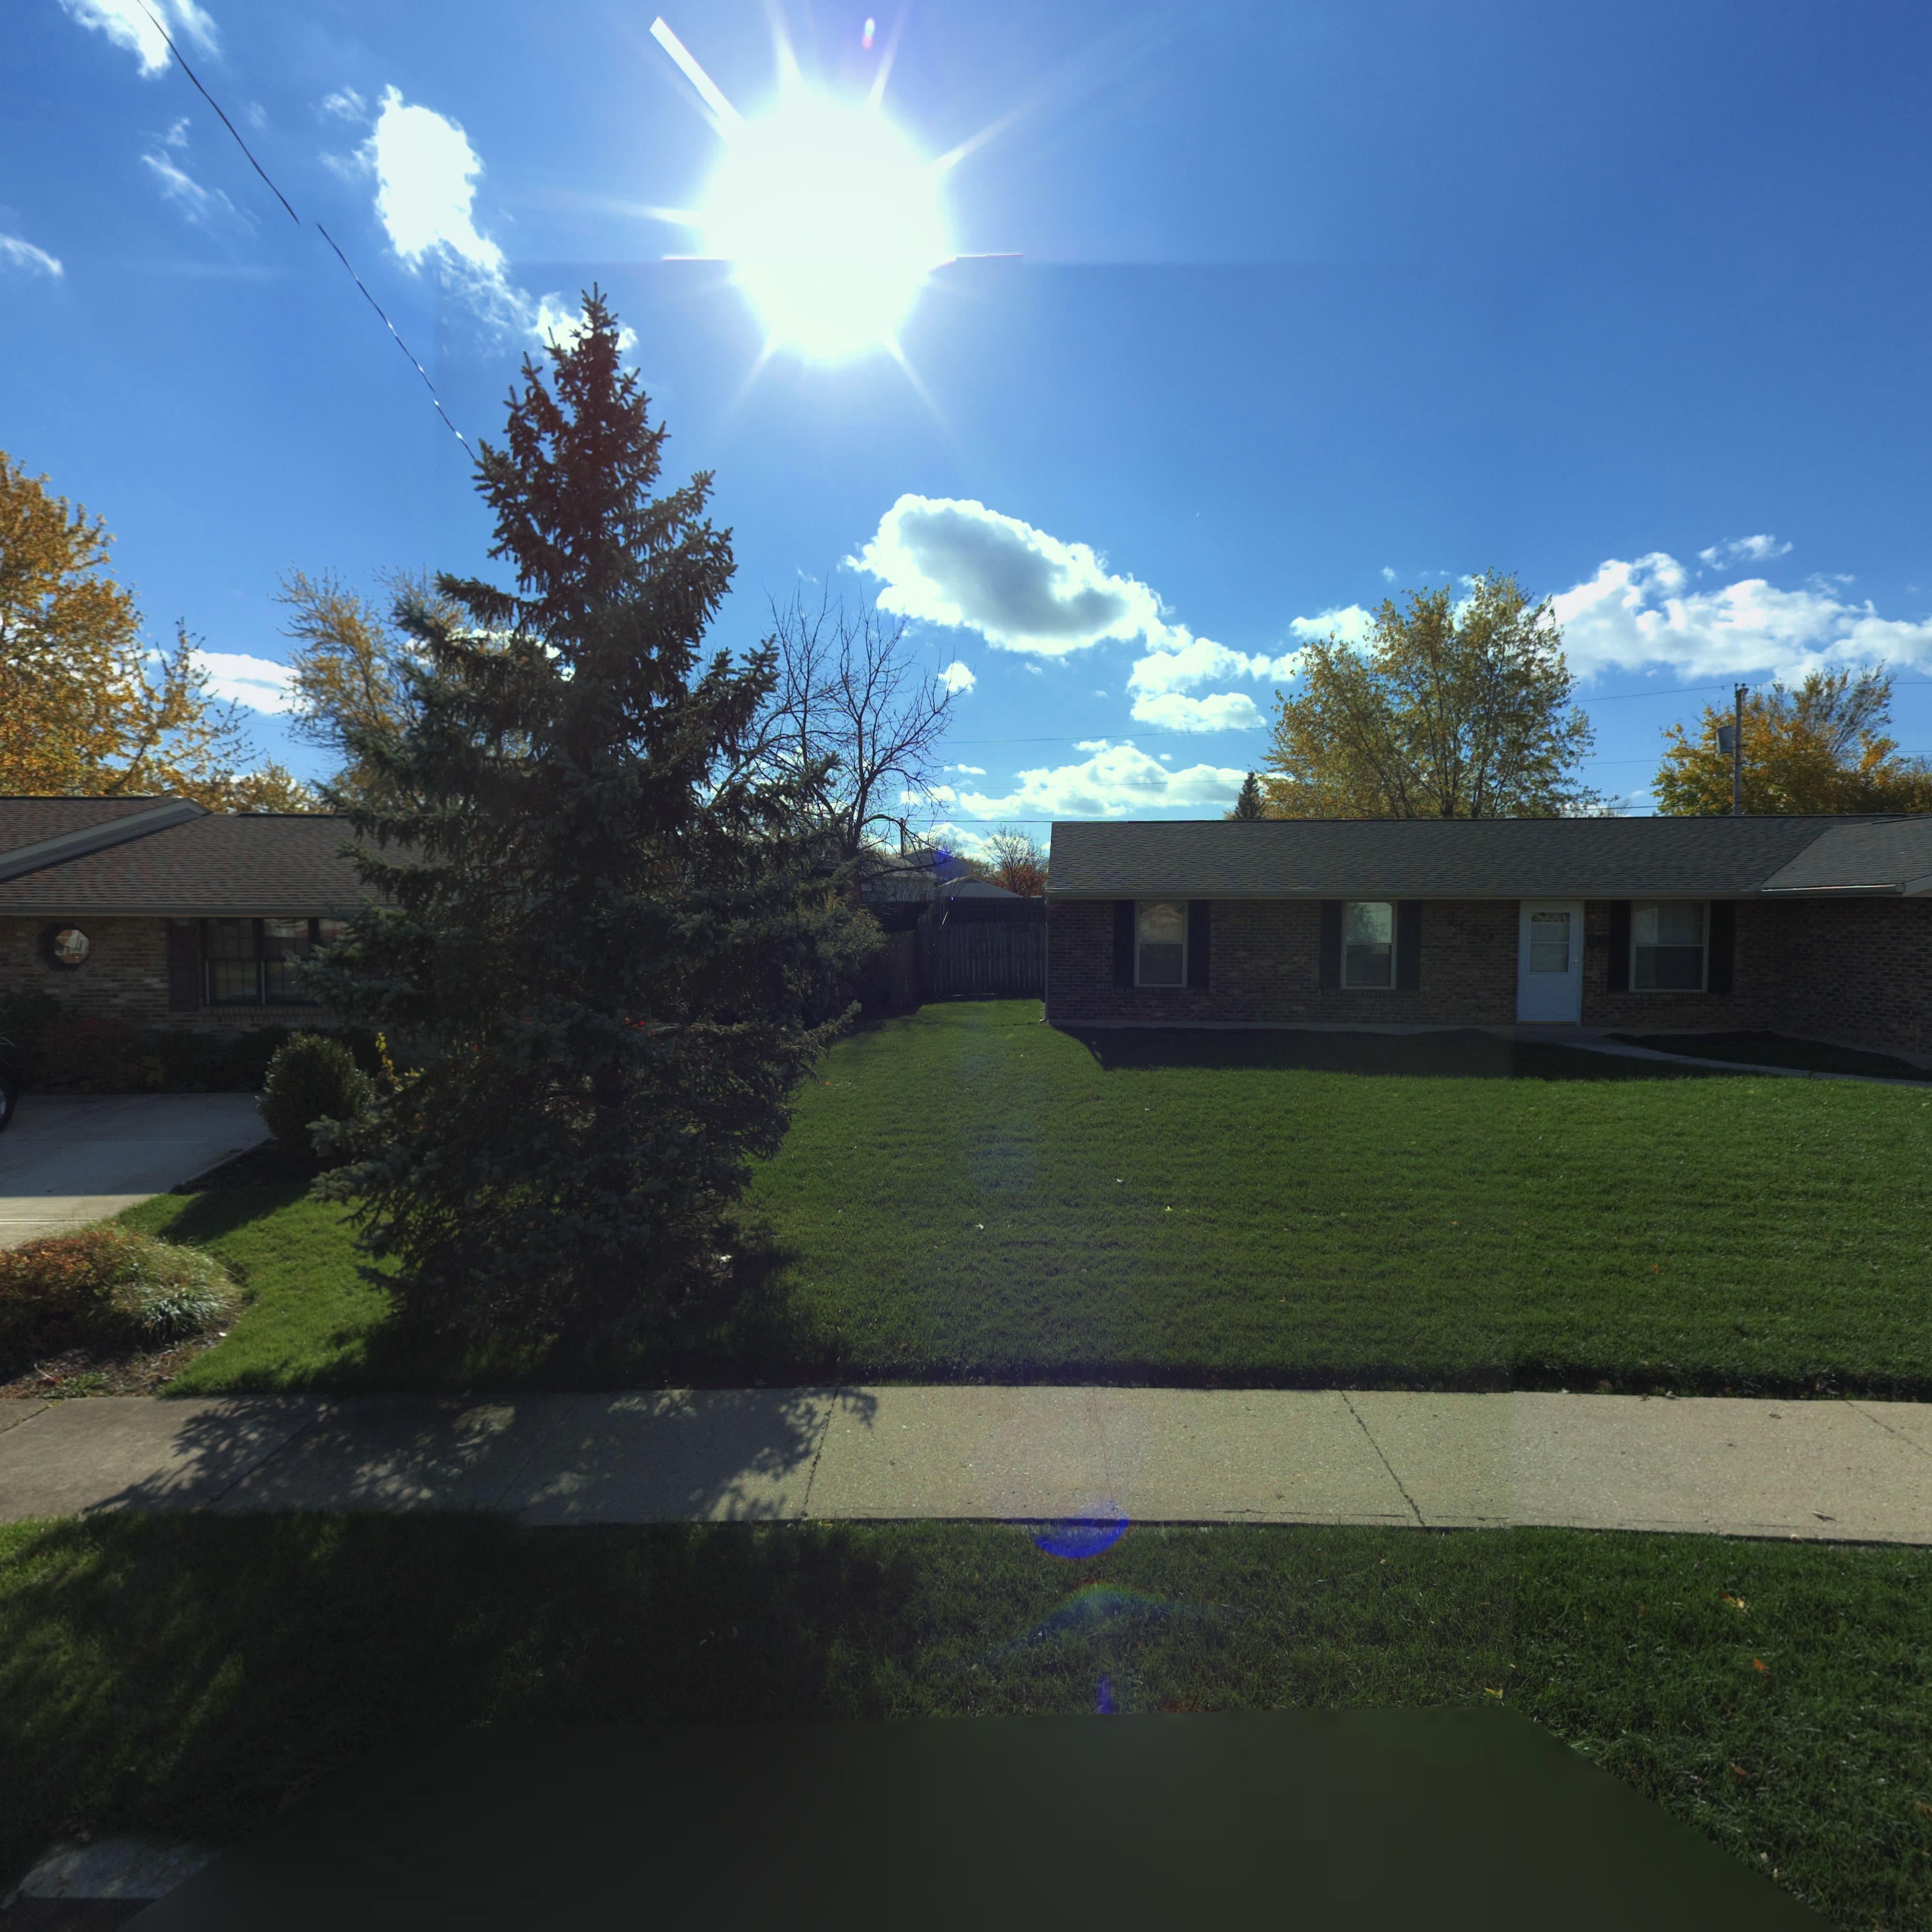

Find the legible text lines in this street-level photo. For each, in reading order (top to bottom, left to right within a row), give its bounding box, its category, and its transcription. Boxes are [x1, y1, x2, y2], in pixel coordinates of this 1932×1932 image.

[1446, 911, 1495, 946] StreetNumber: 7140